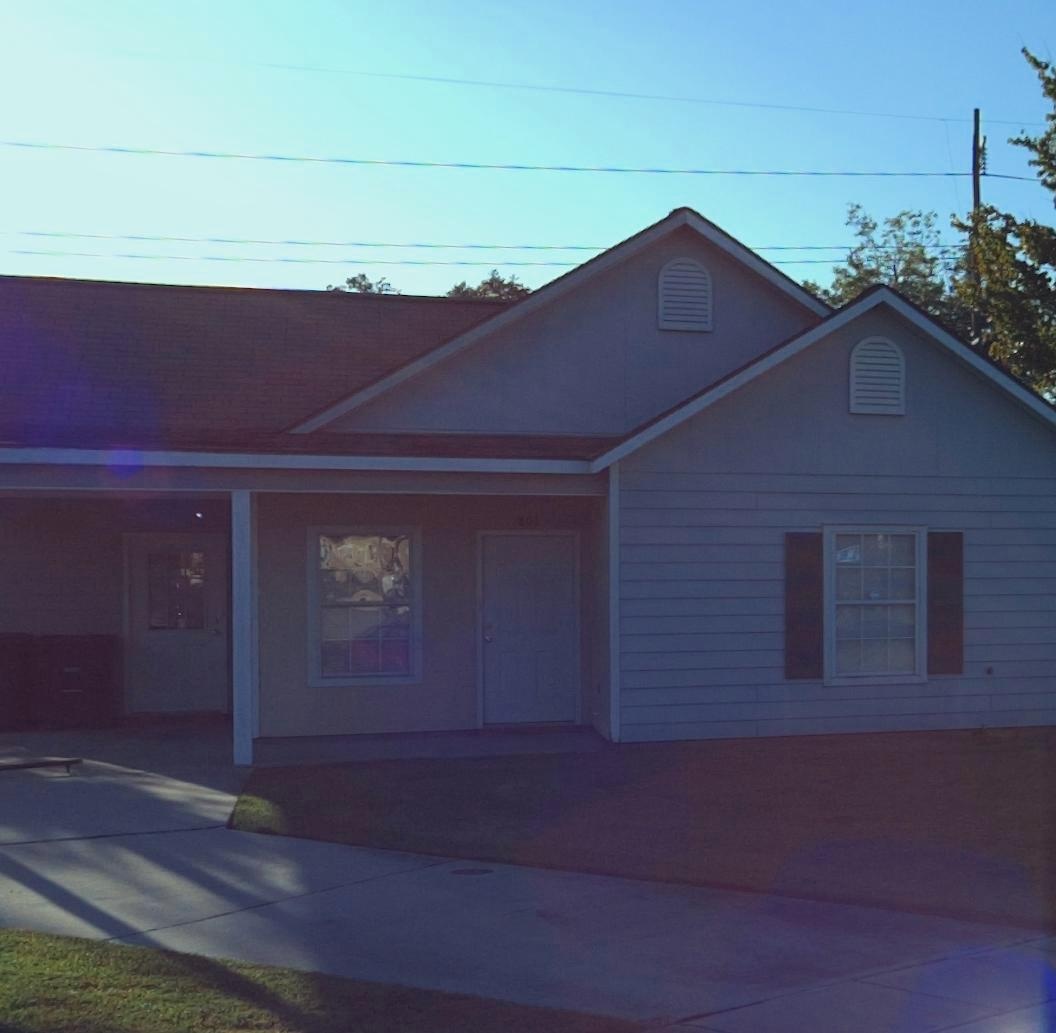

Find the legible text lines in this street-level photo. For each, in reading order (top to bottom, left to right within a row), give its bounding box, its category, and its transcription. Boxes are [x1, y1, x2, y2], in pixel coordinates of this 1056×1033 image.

[517, 514, 540, 528] StreetNumber: 801